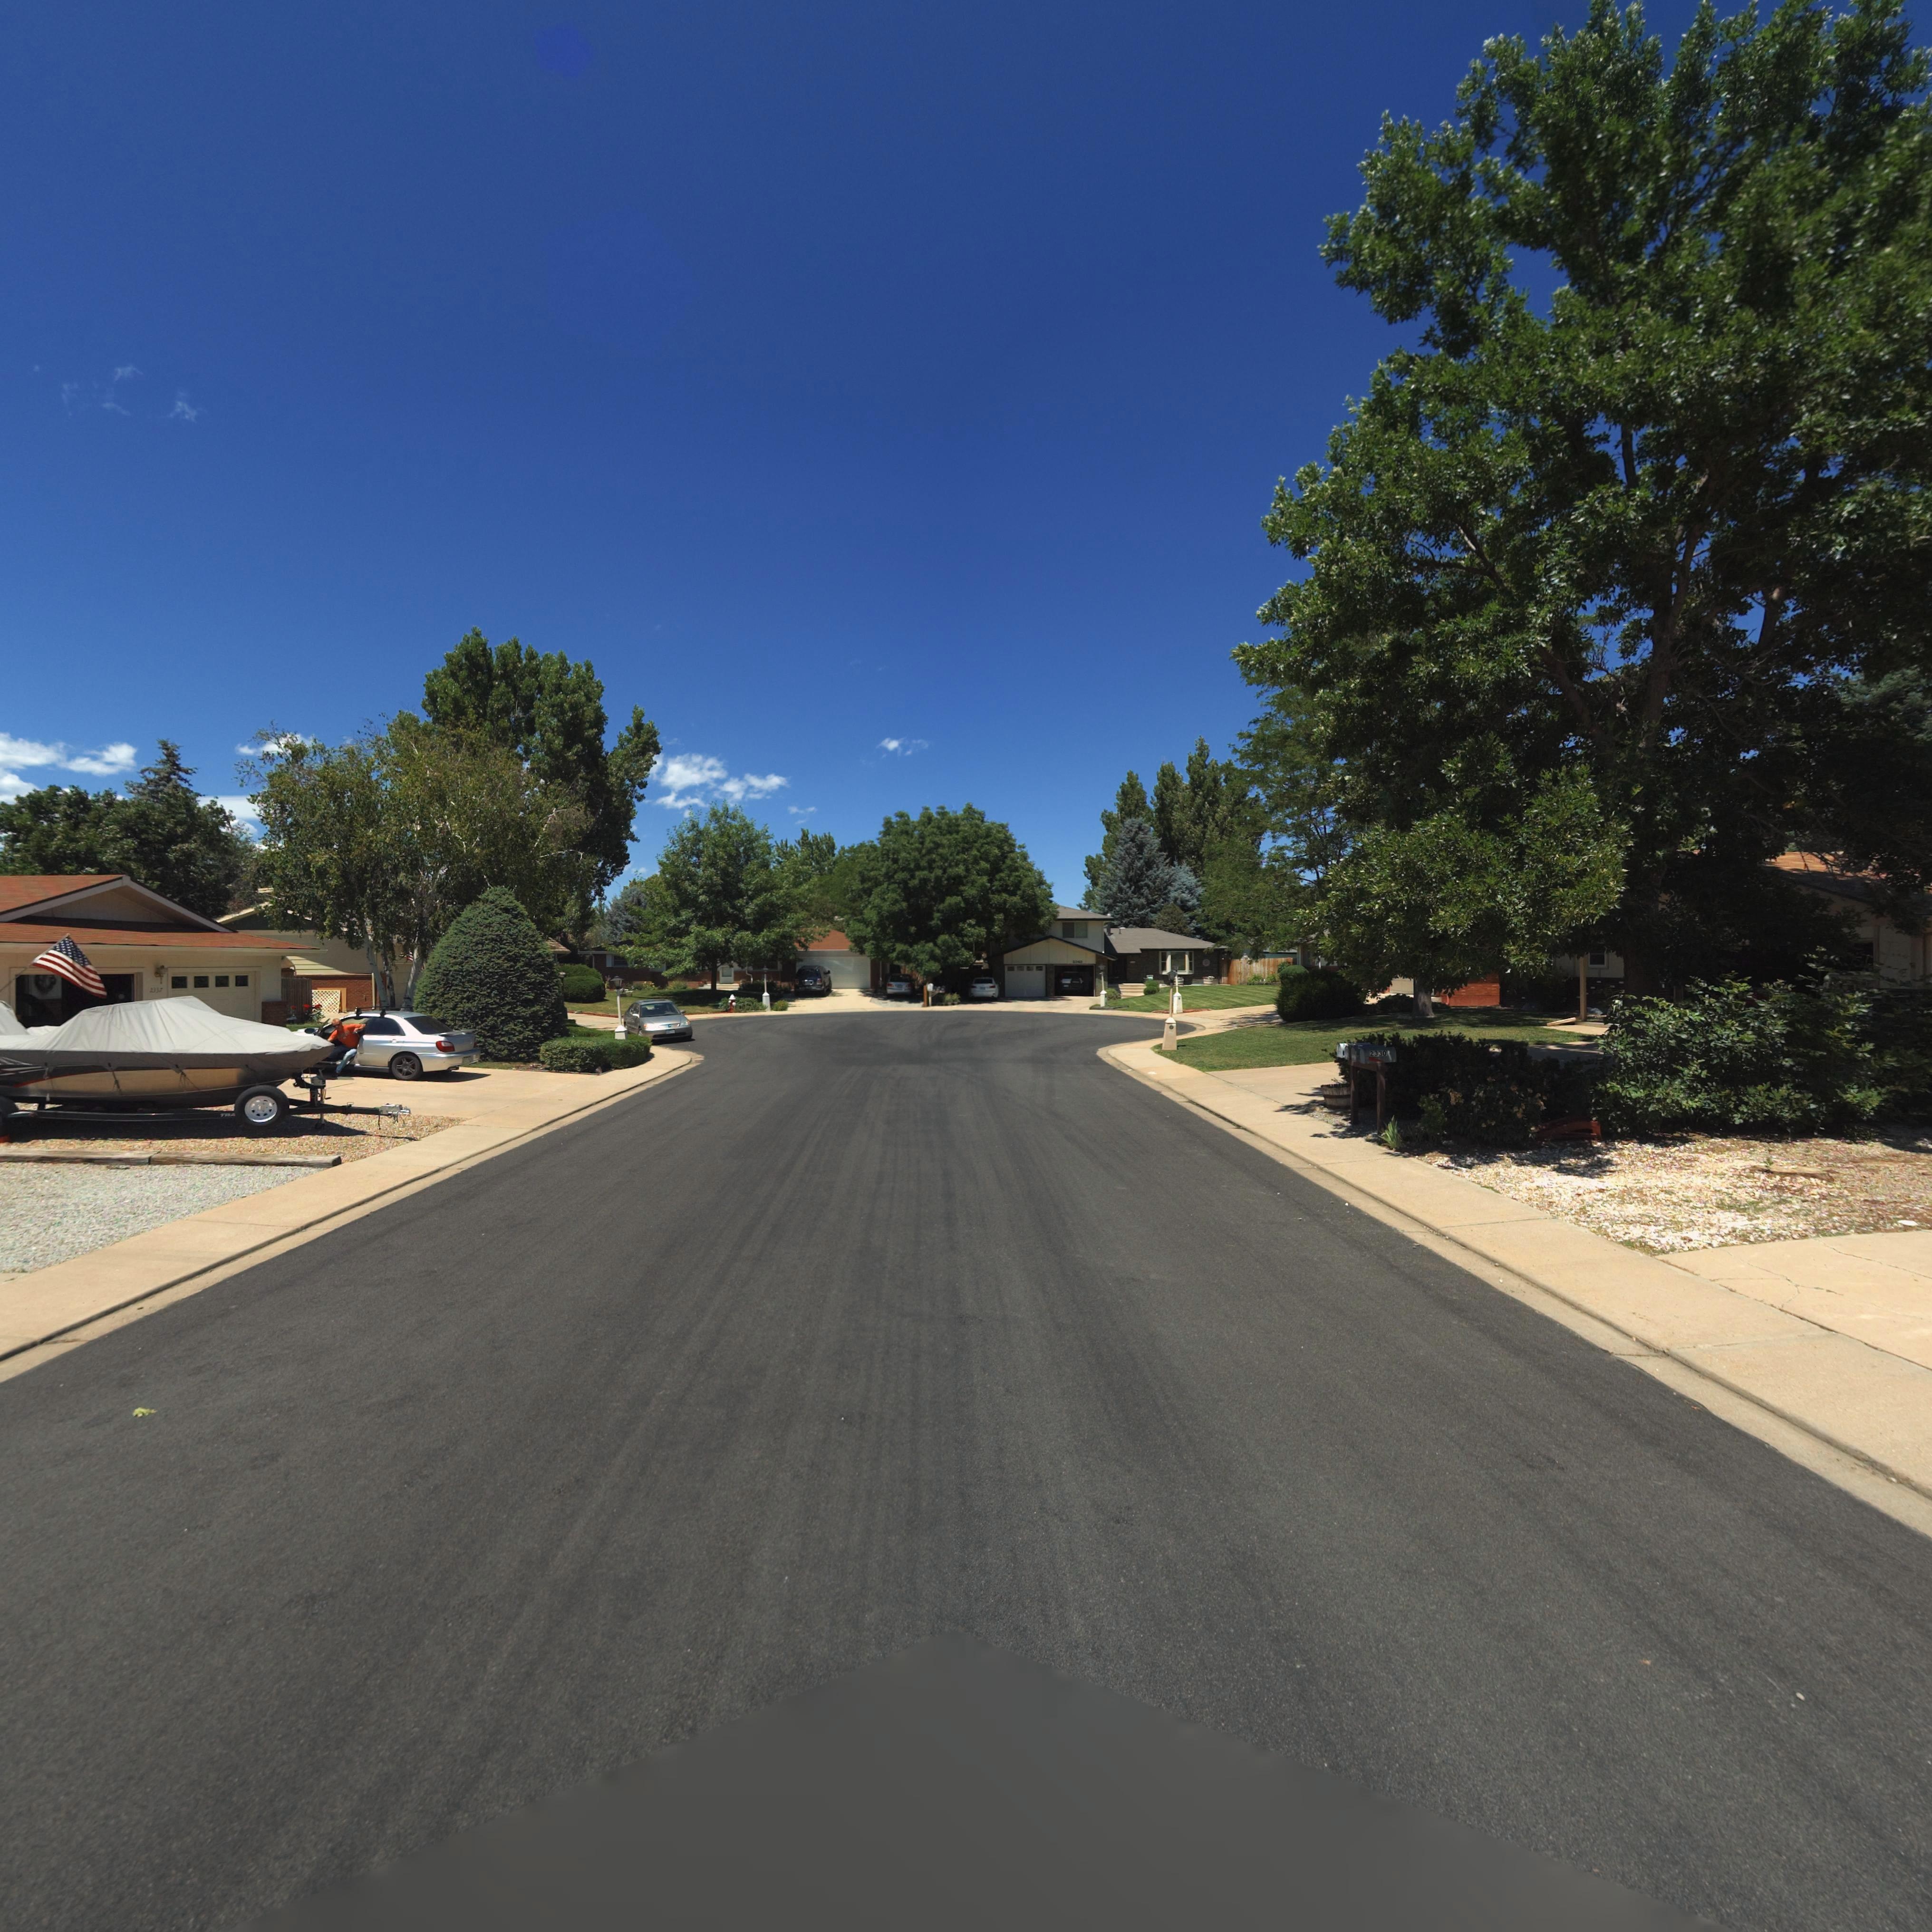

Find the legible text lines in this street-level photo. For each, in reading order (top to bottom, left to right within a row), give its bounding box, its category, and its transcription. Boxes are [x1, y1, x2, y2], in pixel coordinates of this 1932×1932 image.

[1072, 959, 1083, 963] StreetNumber: 2348
[149, 986, 164, 993] StreetNumber: 2337
[1370, 1050, 1387, 1056] StreetNumber: 2330